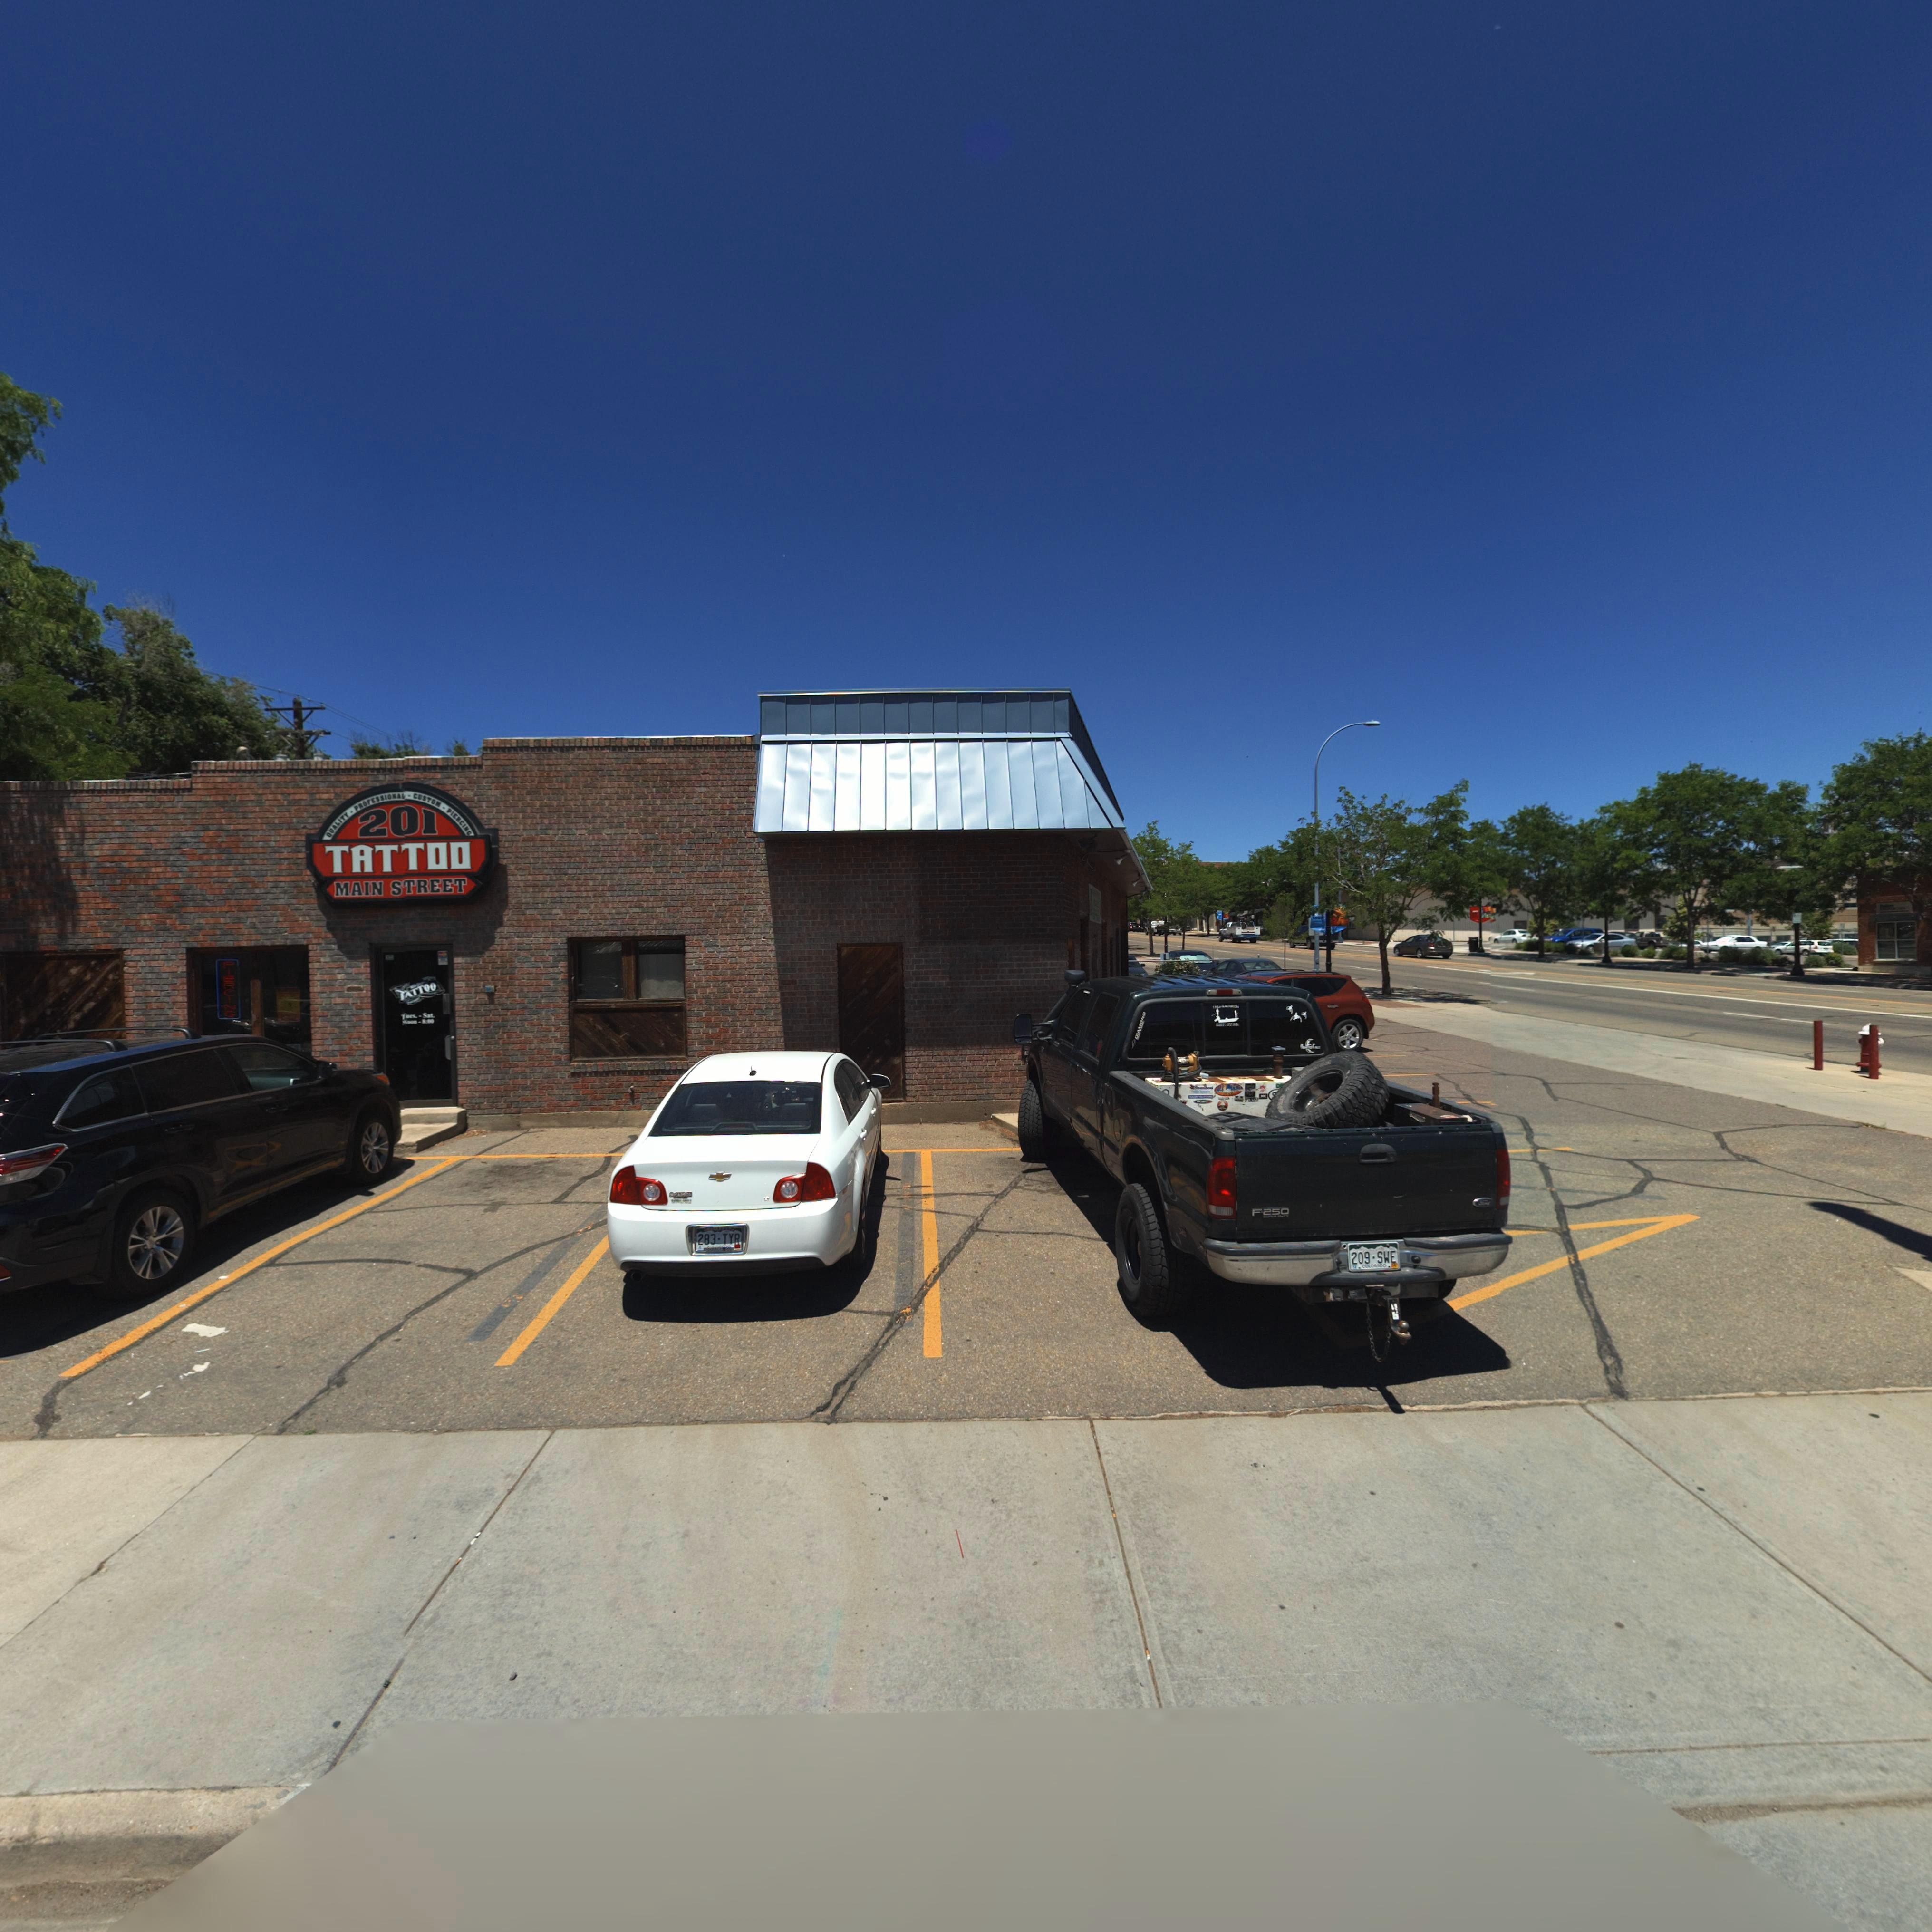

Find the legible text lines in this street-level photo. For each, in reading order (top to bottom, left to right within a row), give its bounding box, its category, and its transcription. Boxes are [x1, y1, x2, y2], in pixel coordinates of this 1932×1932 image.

[358, 804, 438, 837] StreetNumber: 201
[323, 840, 472, 873] BusinessName: TATTOO
[335, 878, 466, 896] BusinessName: MAIN STREET
[394, 982, 437, 1001] BusinessName: TATTOO